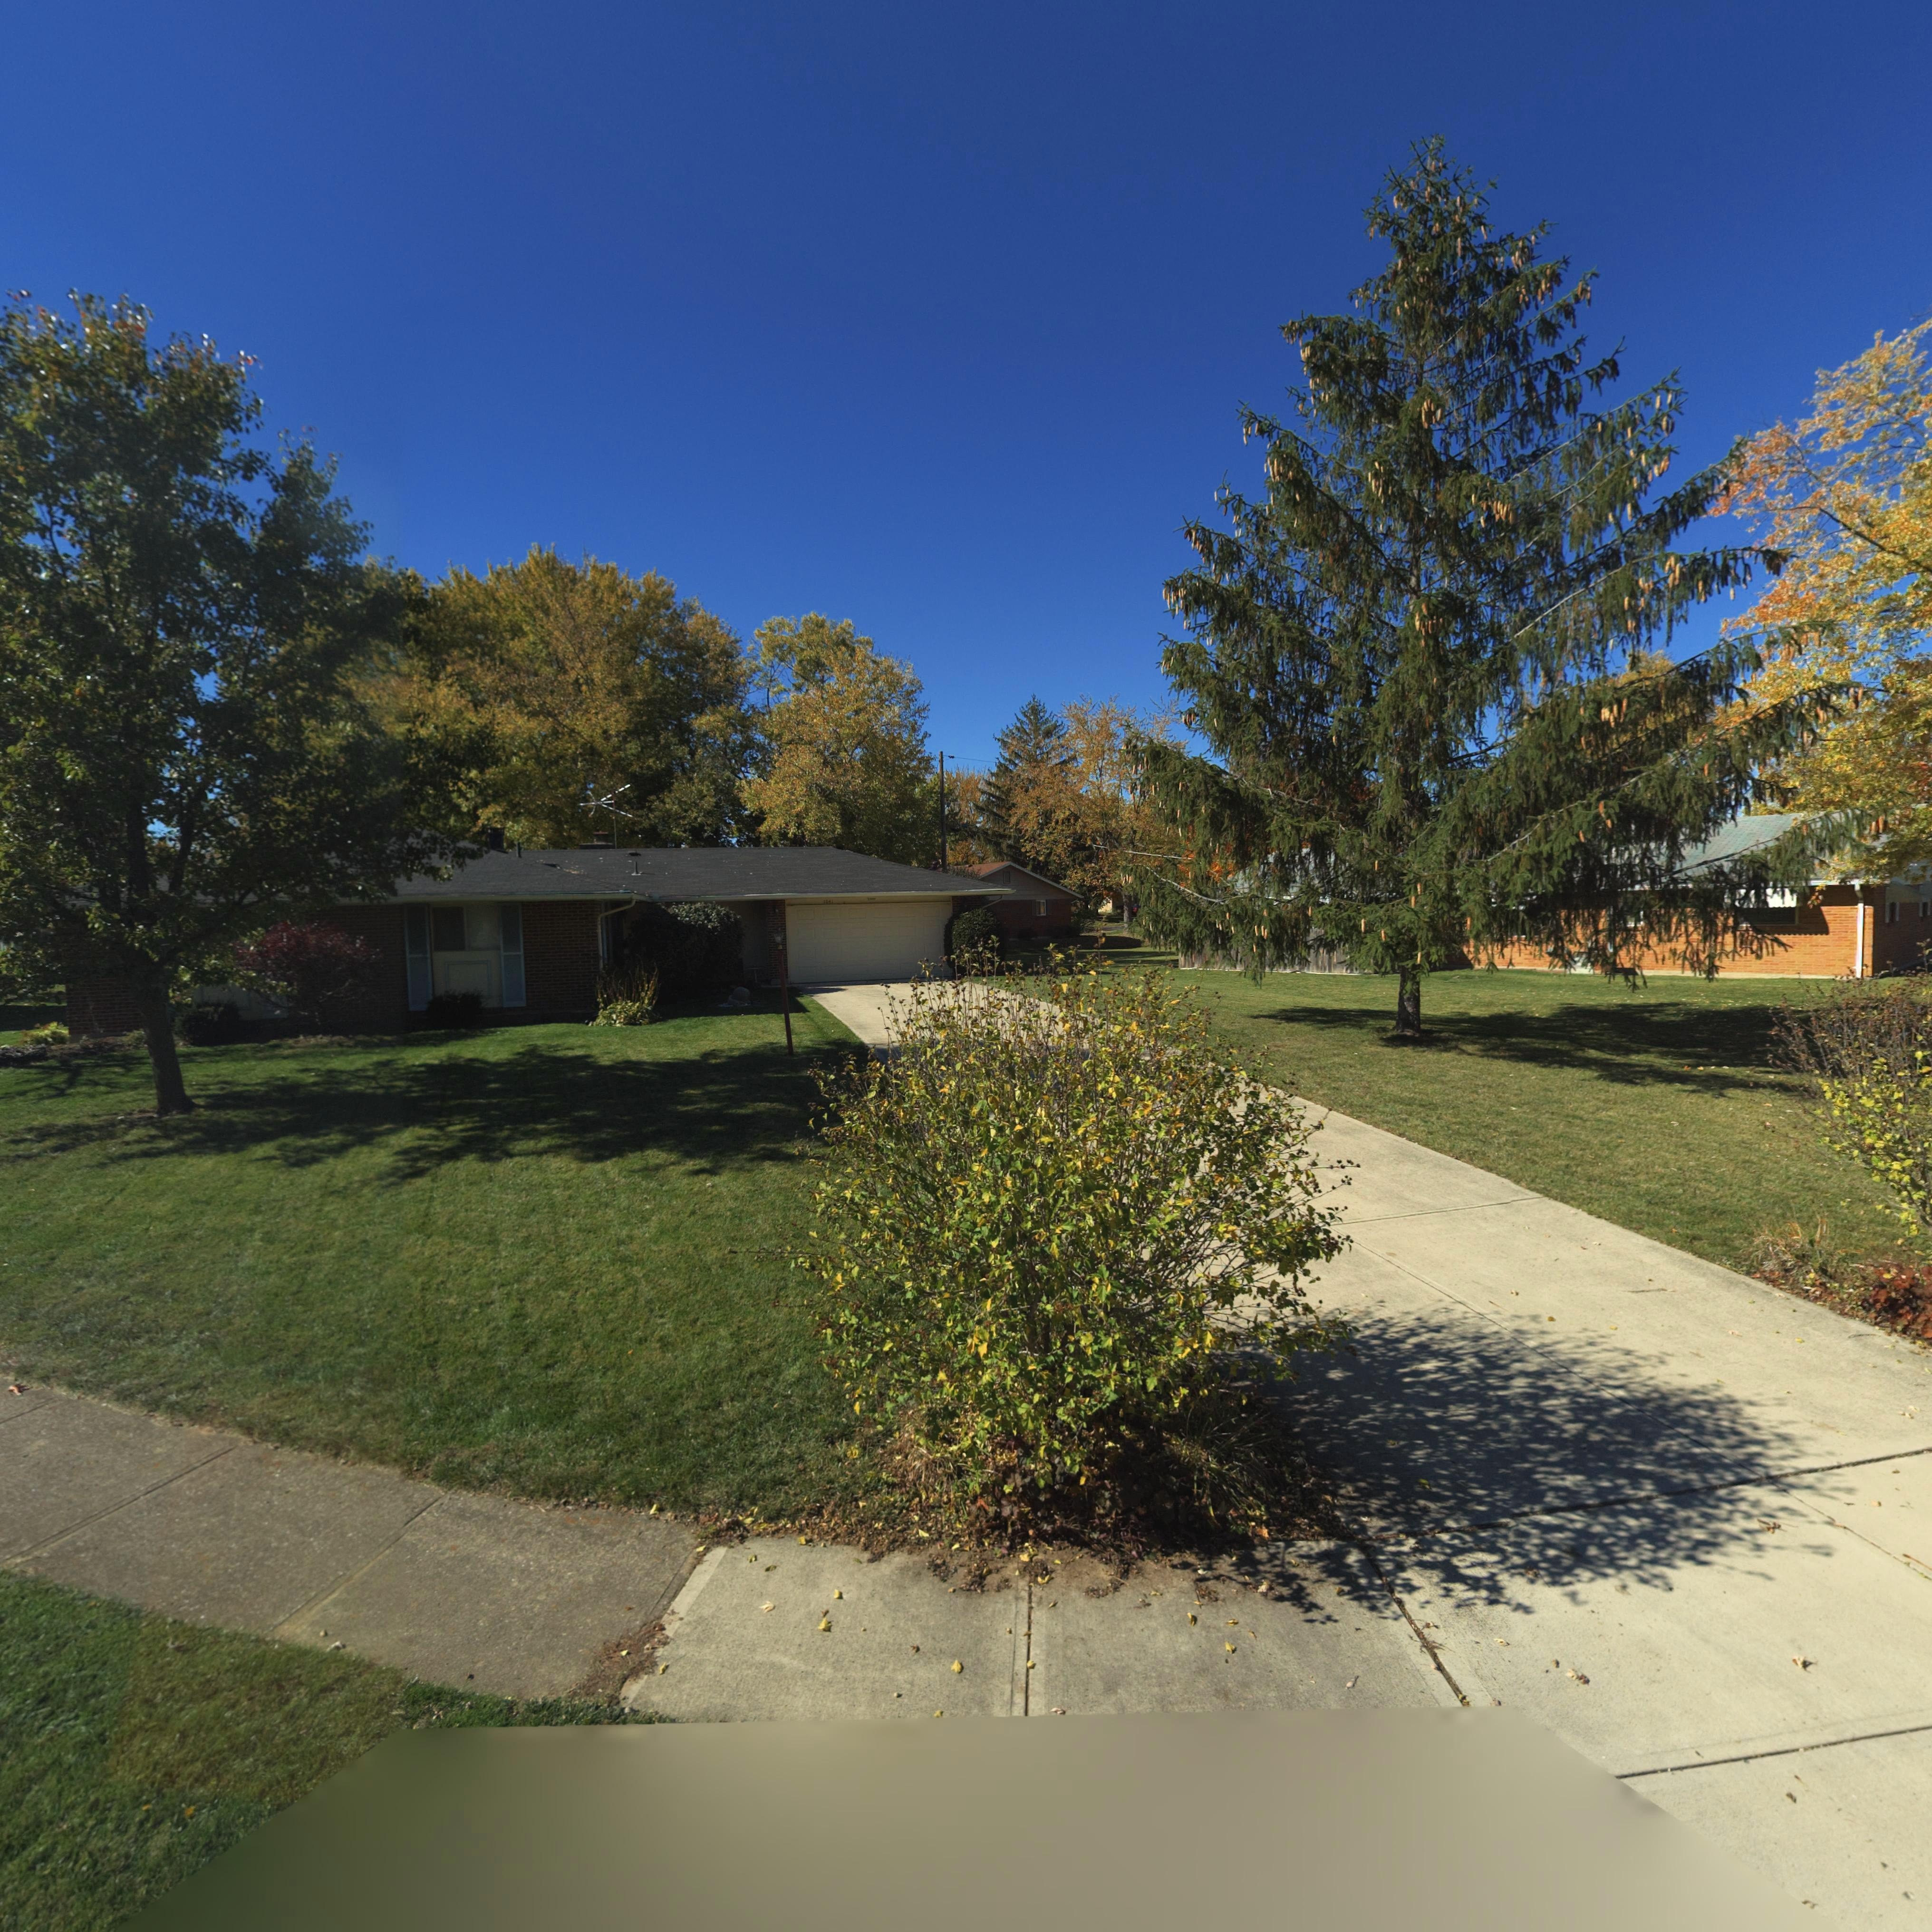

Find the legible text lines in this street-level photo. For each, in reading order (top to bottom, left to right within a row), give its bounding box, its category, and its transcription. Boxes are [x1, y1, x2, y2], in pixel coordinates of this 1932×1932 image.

[823, 899, 834, 904] StreetNumber: 1041